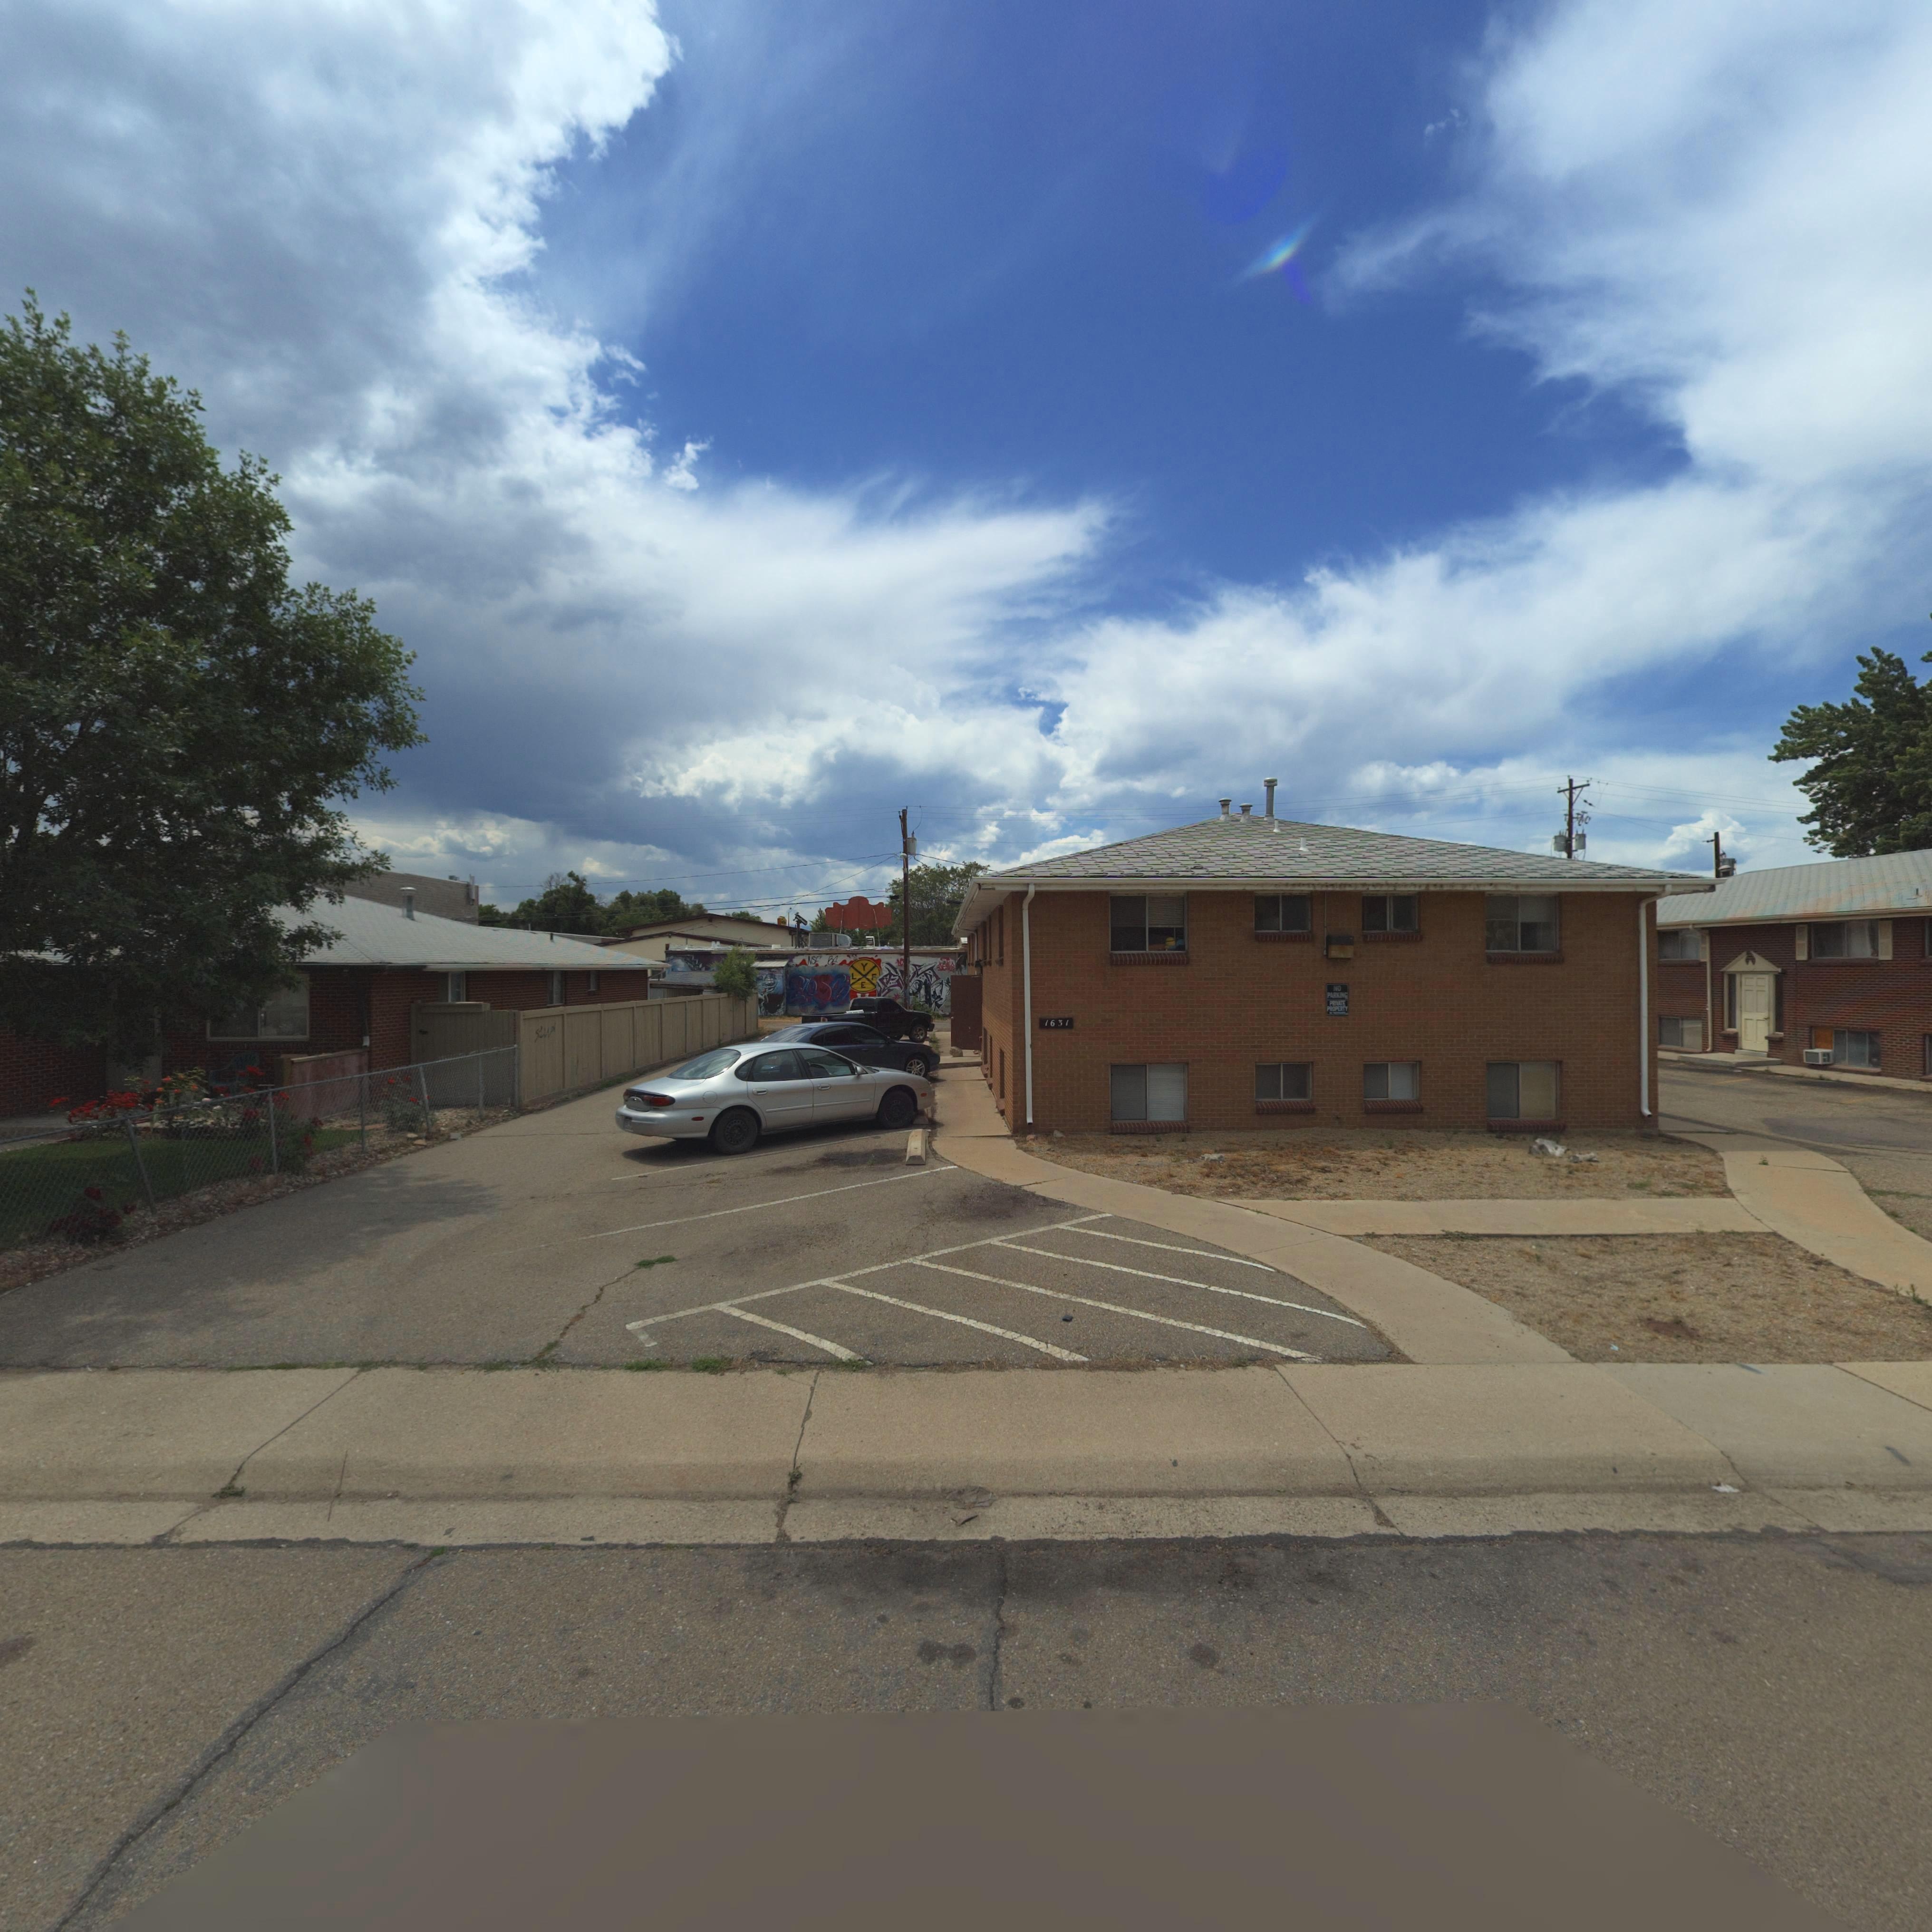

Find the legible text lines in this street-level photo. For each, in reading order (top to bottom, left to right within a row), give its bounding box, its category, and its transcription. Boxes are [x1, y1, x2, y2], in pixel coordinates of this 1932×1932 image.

[1044, 1019, 1069, 1027] StreetNumber: 1631